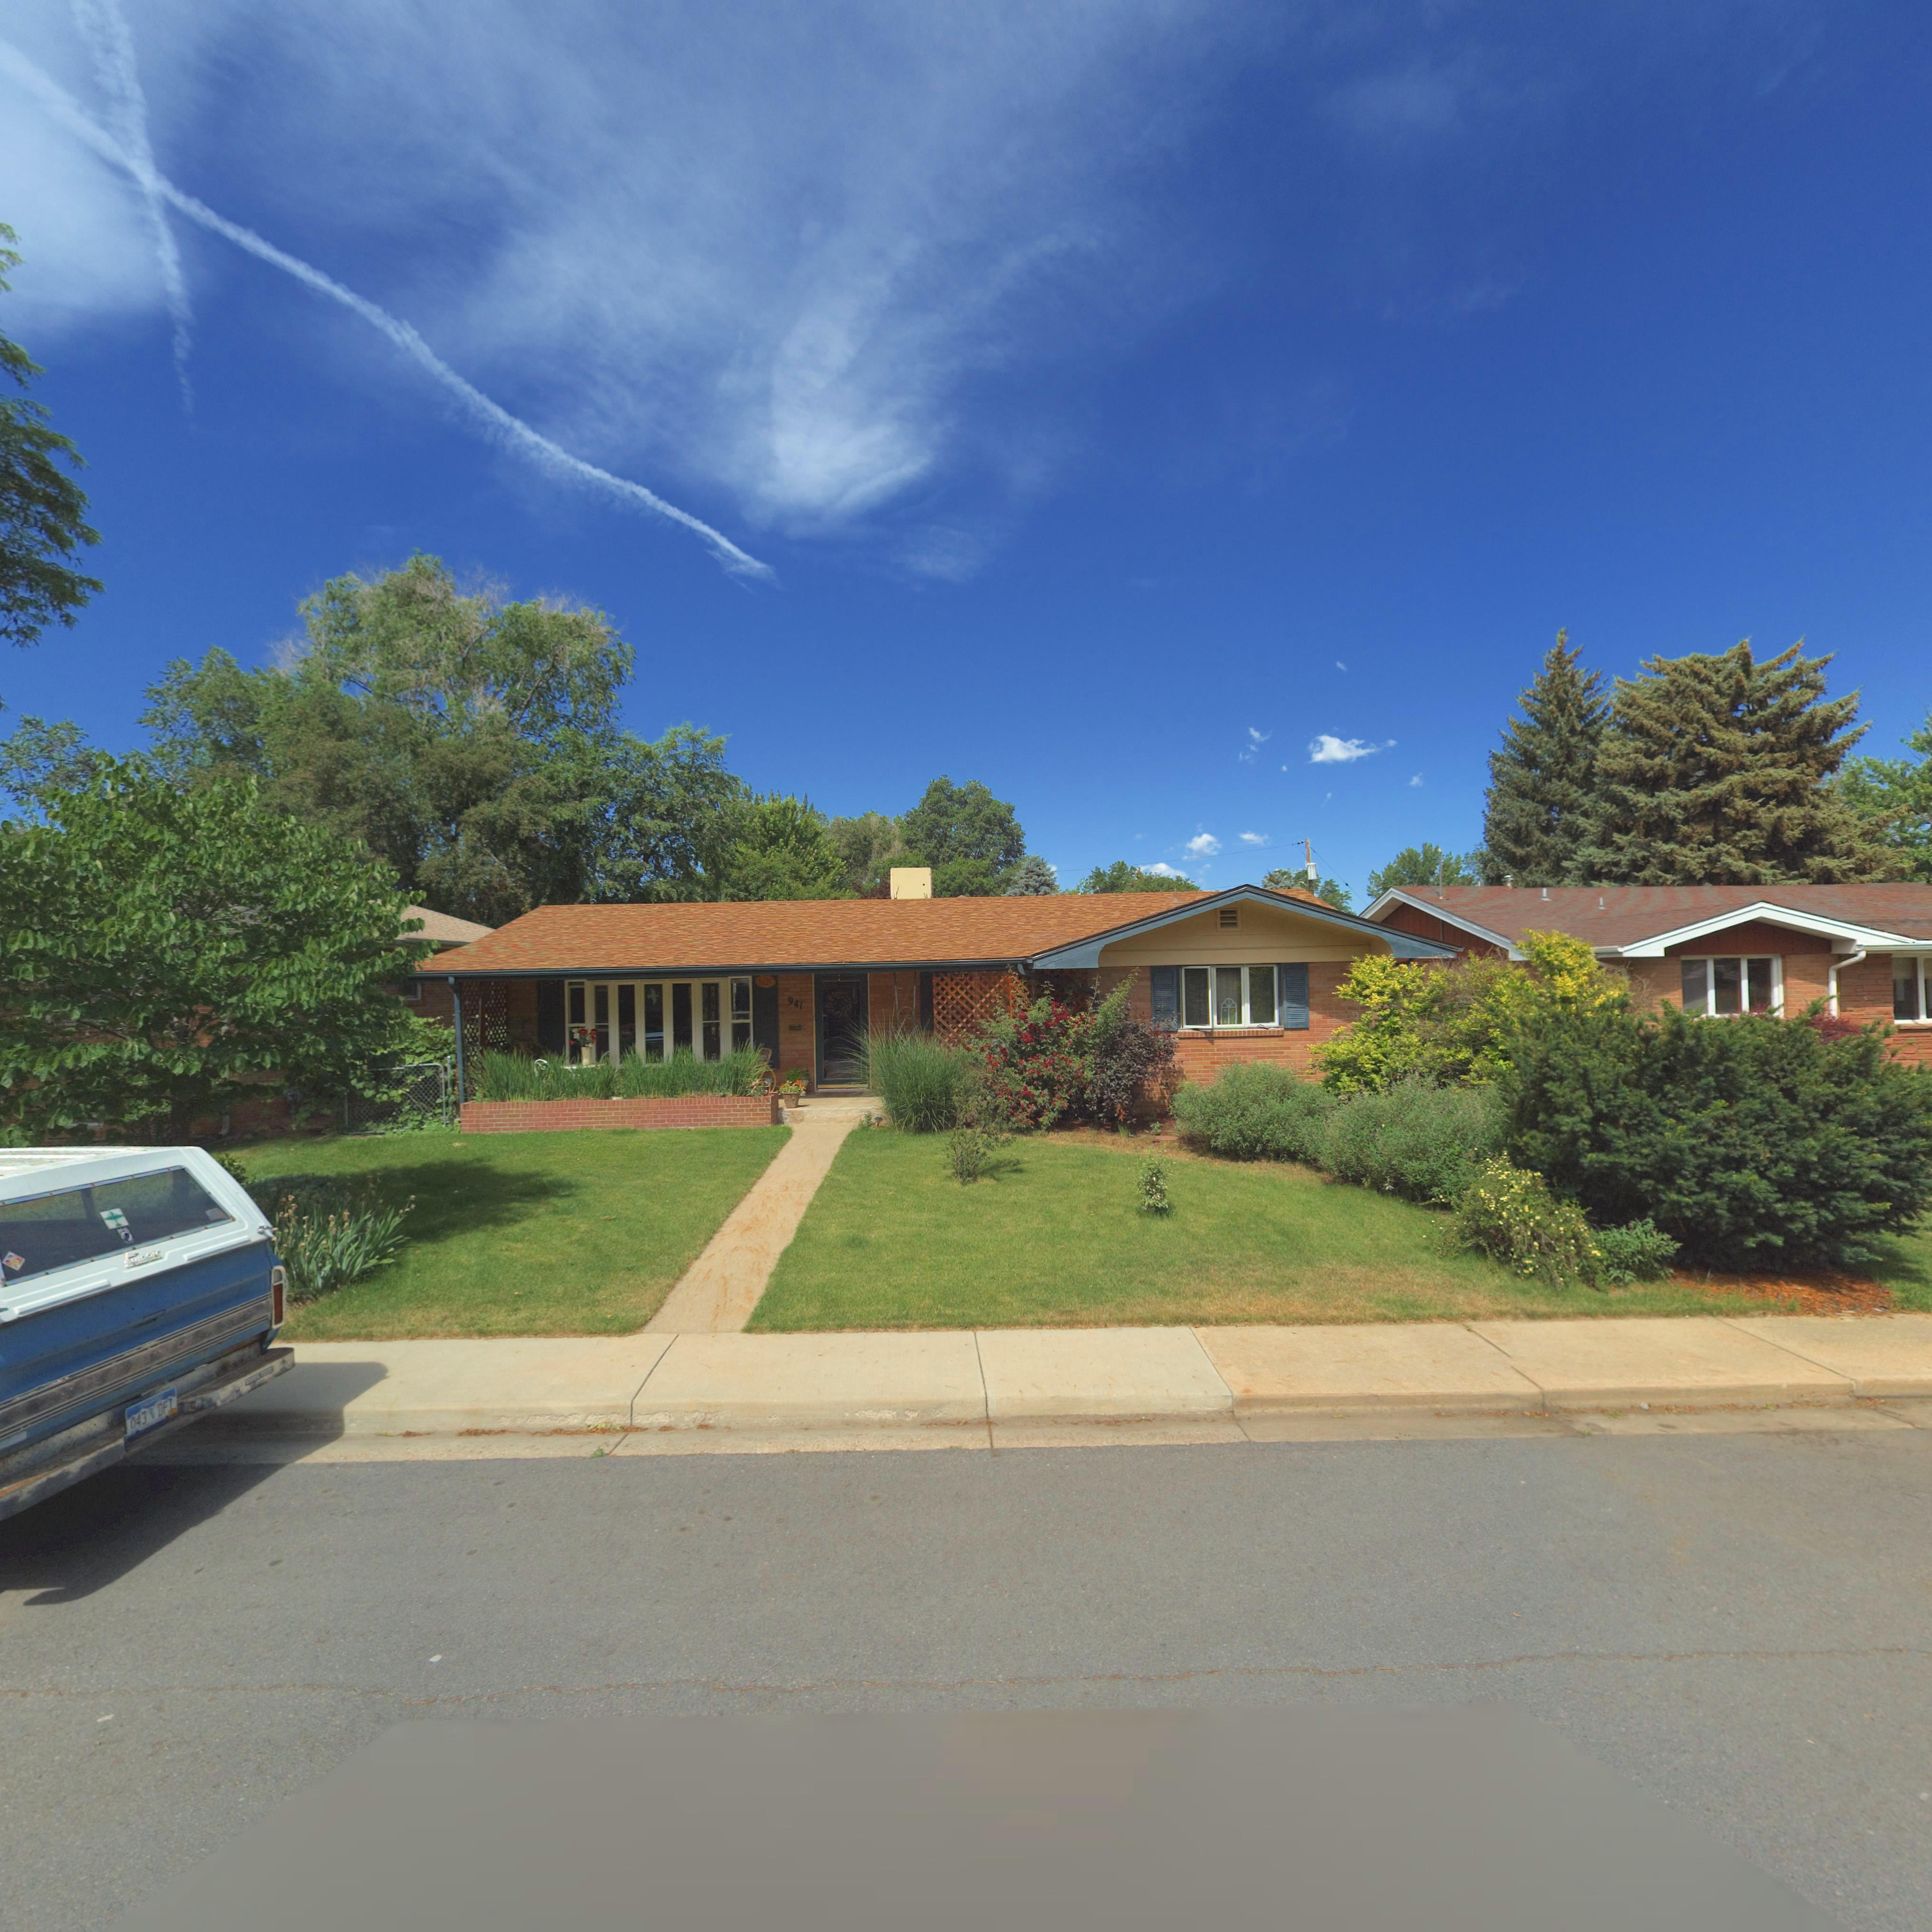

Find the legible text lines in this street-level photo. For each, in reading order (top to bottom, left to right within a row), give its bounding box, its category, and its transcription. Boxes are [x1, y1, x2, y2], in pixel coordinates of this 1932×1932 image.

[787, 996, 802, 1011] StreetNumber: 941